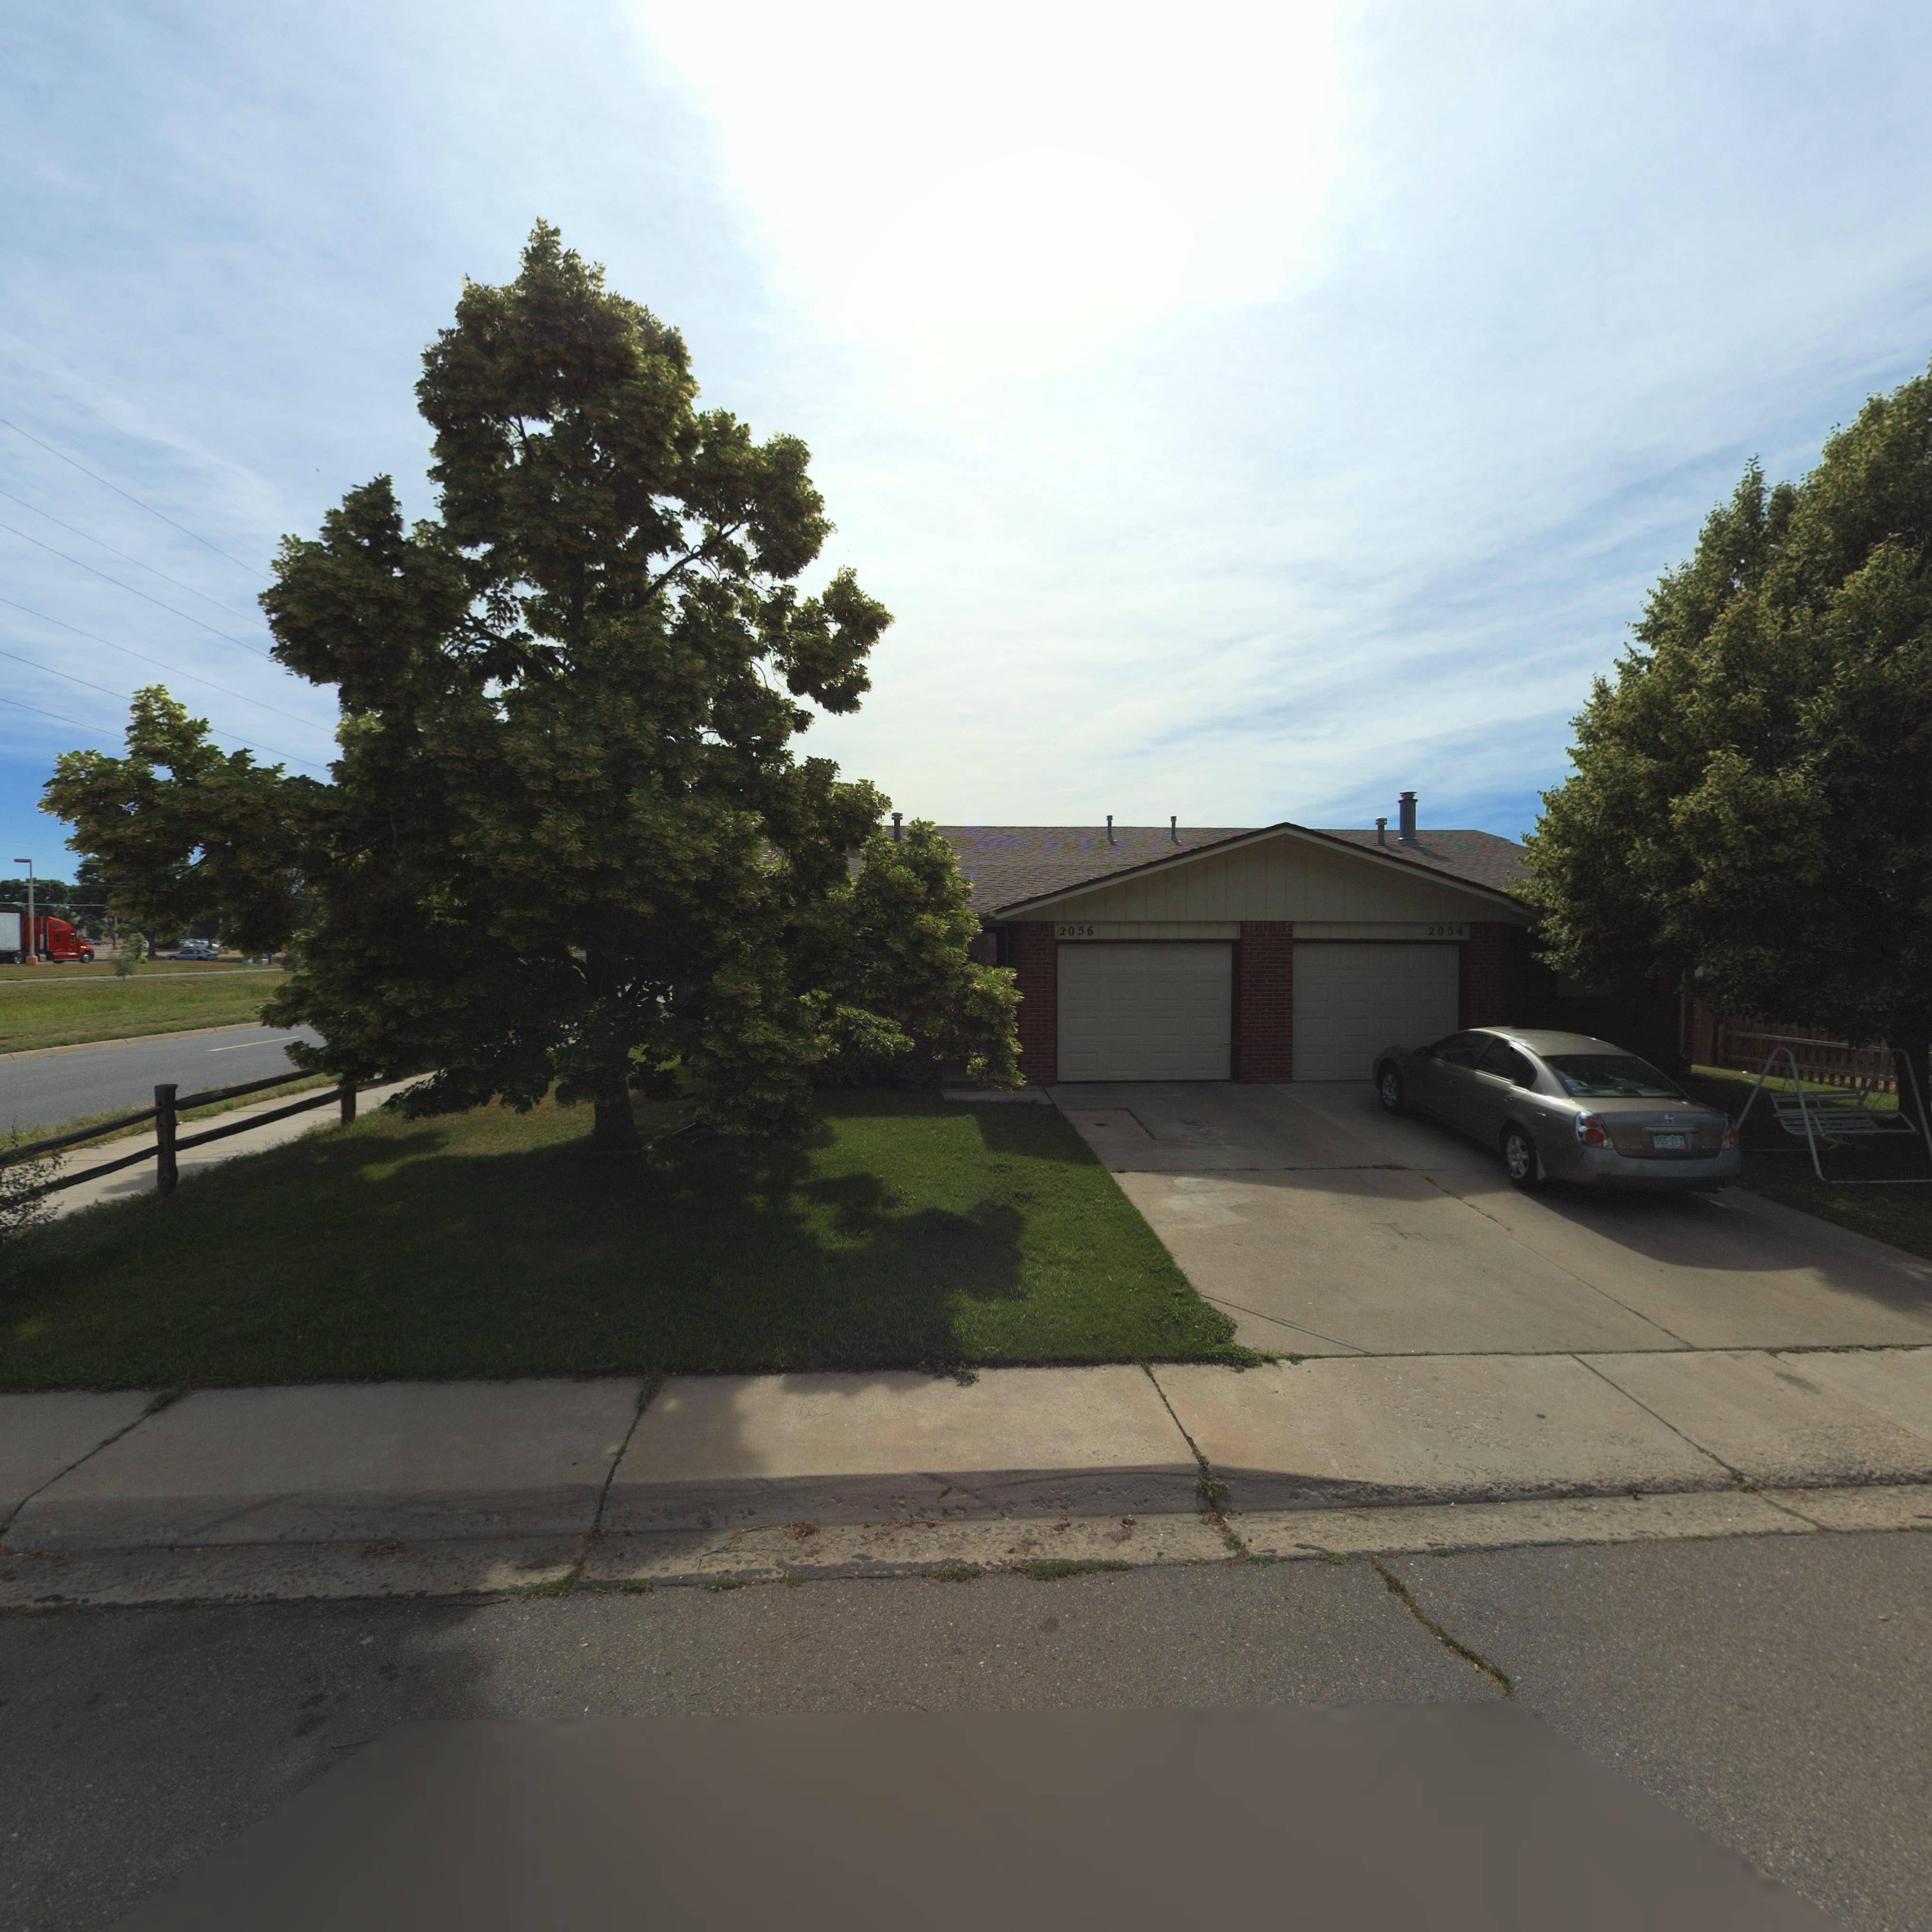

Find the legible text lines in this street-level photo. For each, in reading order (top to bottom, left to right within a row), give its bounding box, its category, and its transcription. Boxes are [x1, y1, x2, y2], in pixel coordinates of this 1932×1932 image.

[1059, 925, 1094, 936] StreetNumber: 2056
[1427, 925, 1463, 936] StreetNumber: 2054